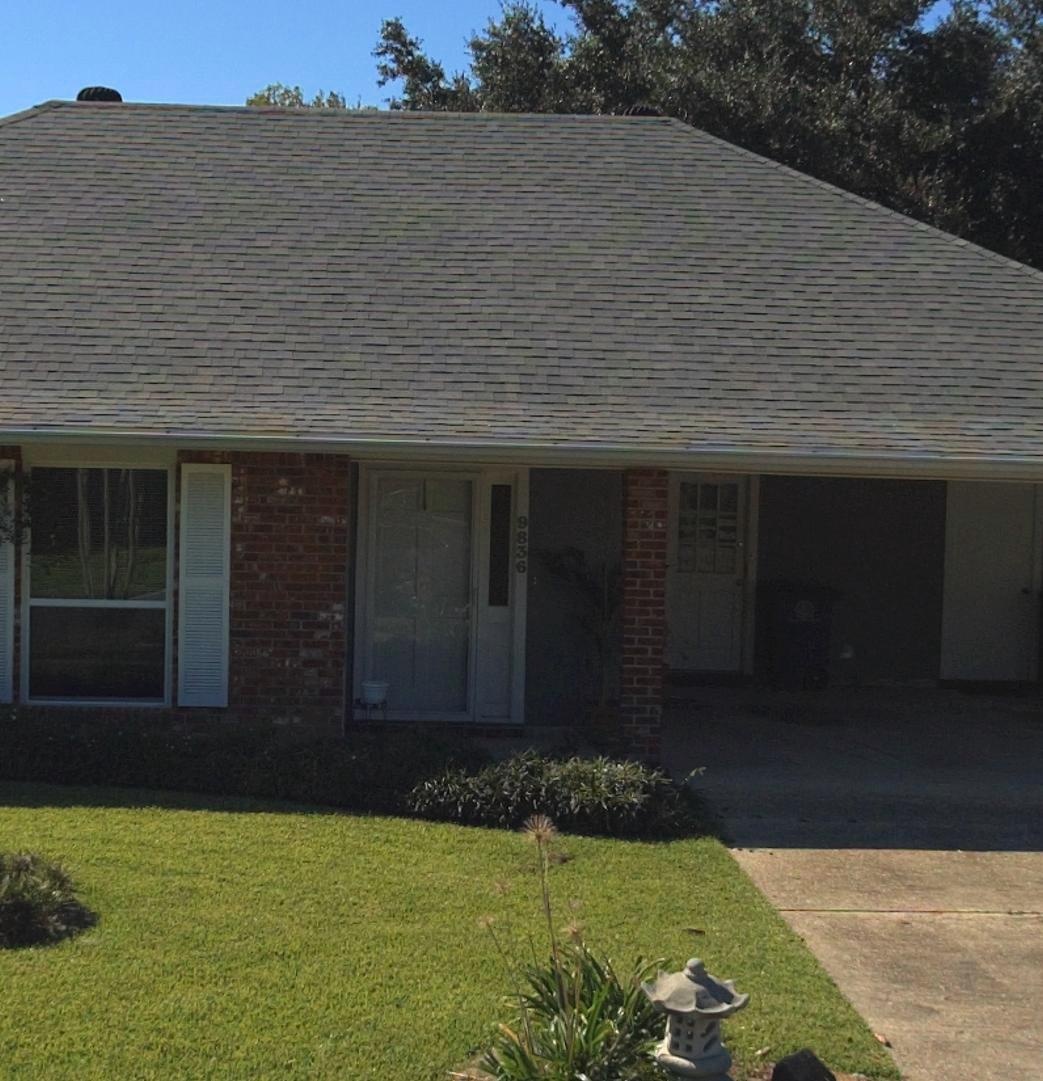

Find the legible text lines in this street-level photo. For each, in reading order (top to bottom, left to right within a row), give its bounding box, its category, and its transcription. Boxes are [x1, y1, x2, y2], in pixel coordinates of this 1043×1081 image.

[516, 514, 529, 574] StreetNumber: 9836